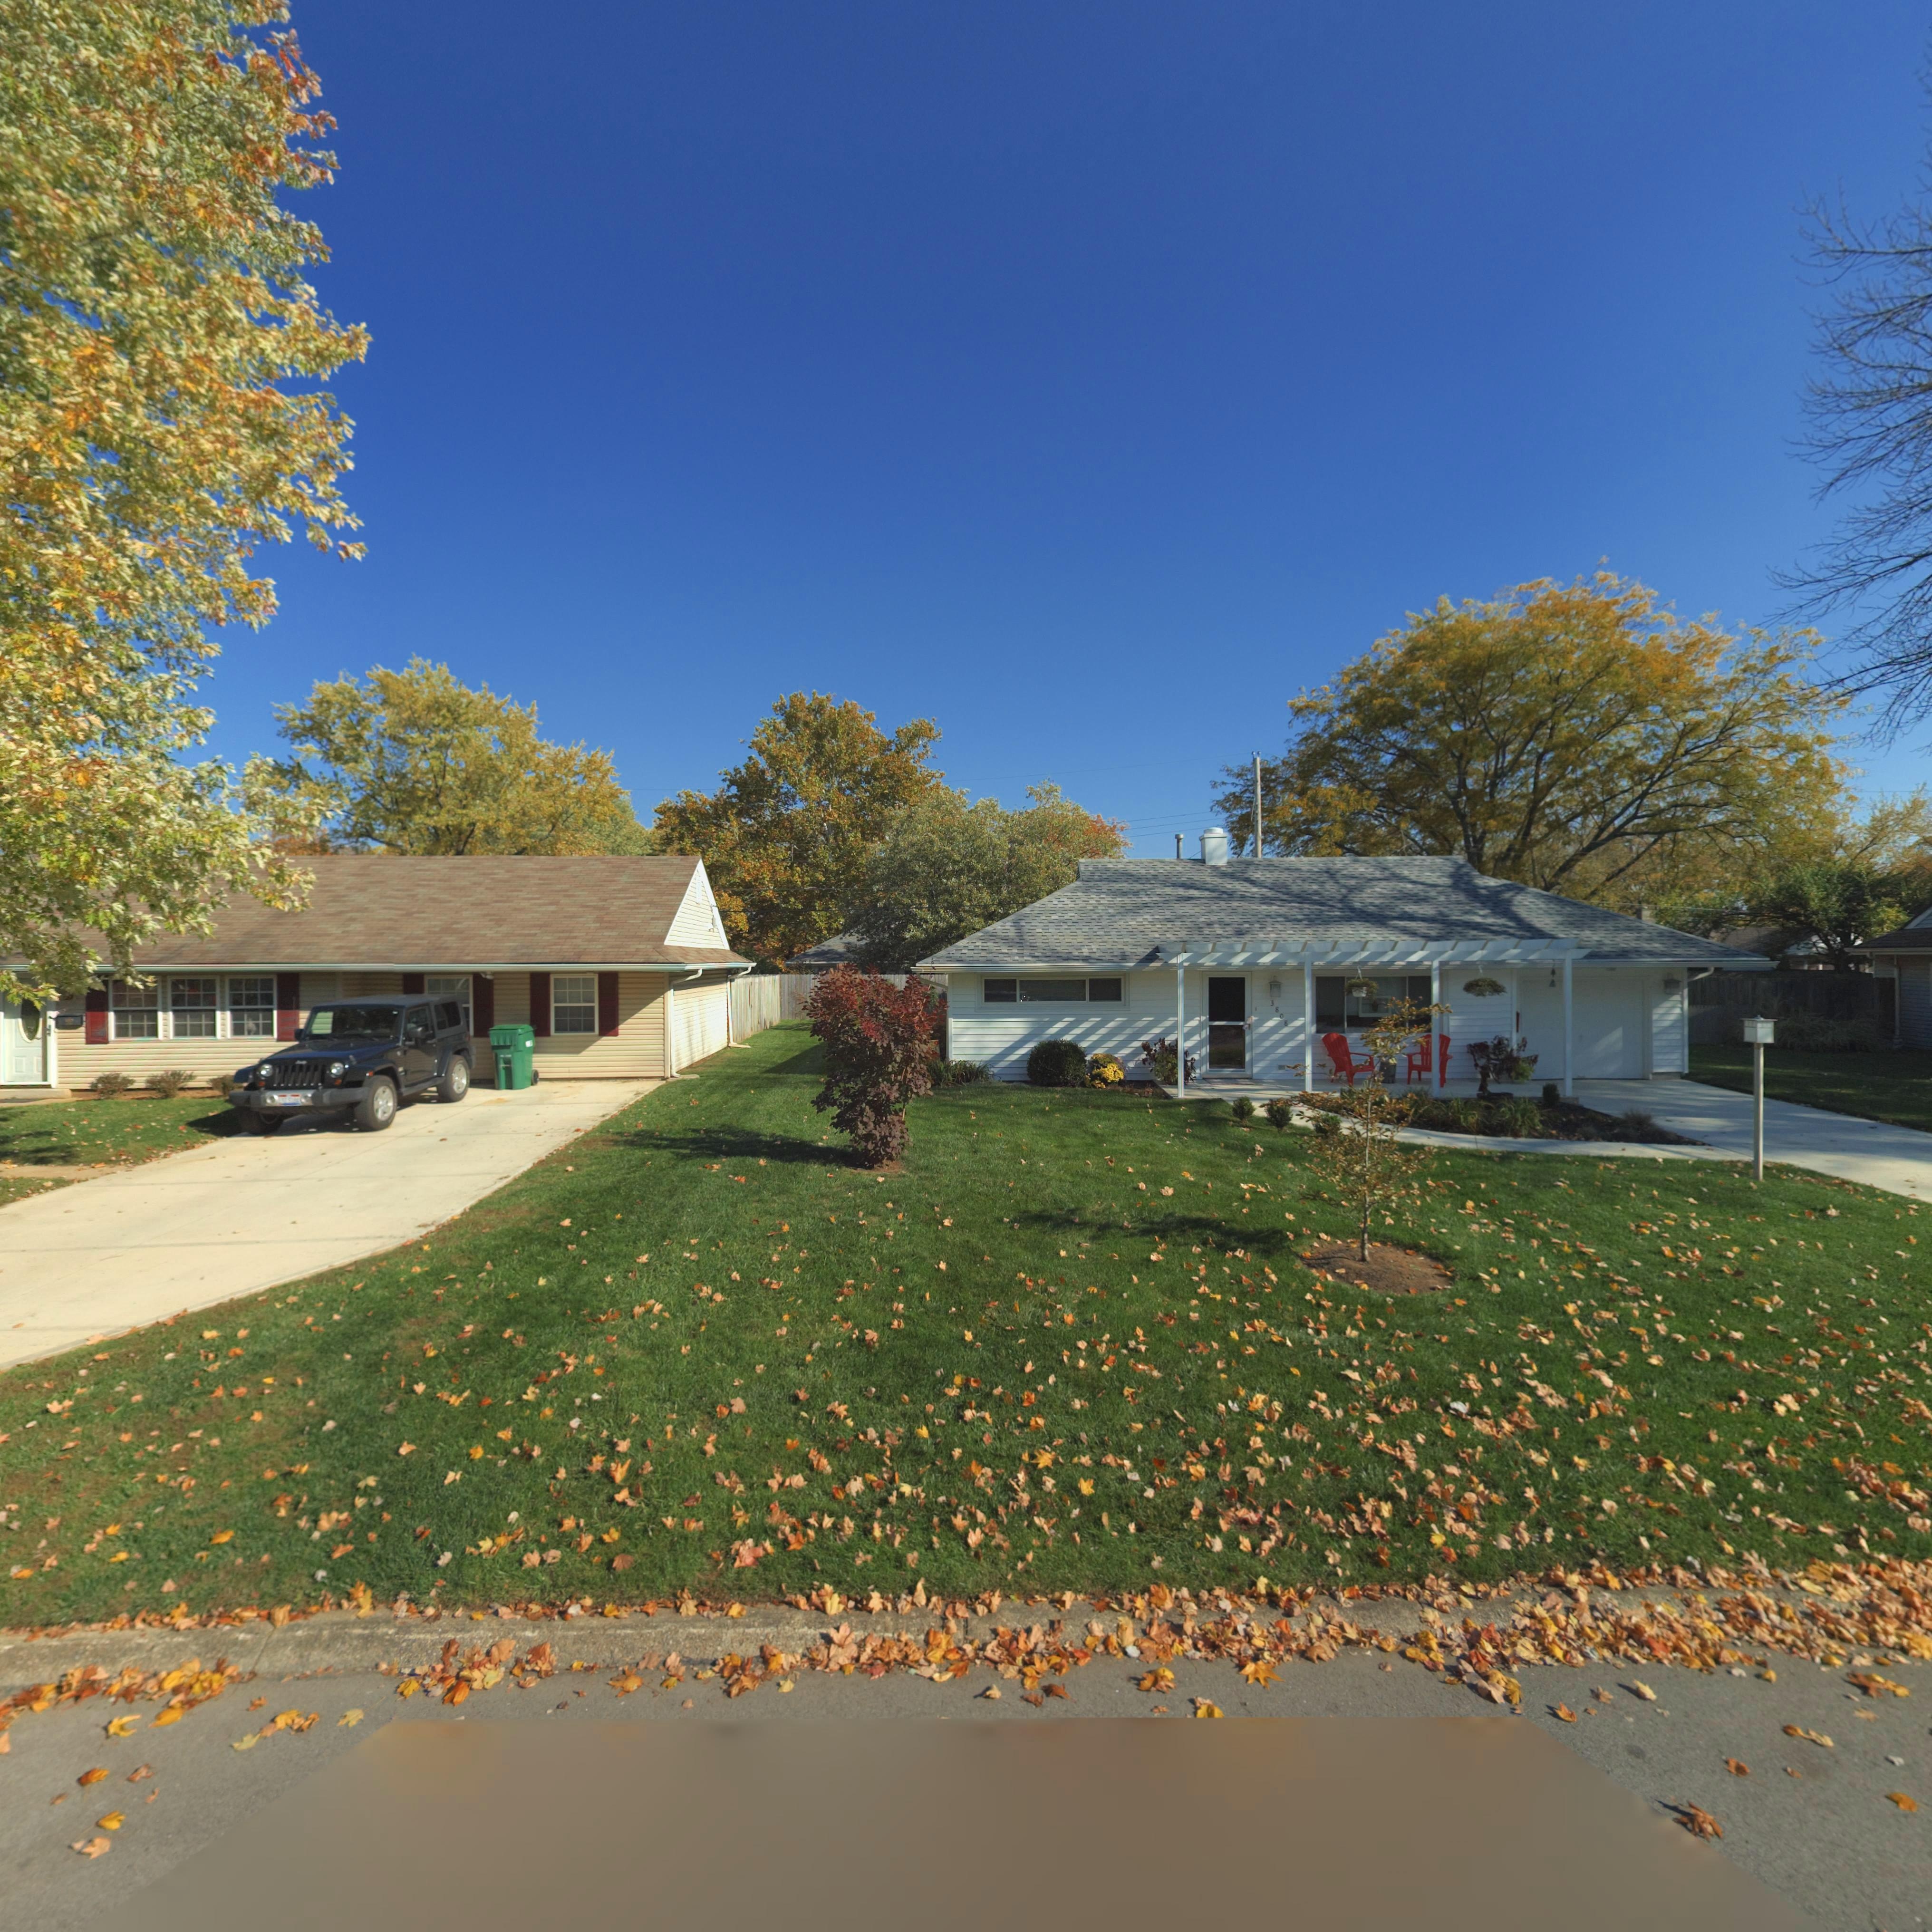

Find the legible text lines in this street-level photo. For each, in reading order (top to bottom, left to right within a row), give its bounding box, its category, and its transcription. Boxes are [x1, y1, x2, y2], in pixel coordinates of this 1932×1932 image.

[1269, 998, 1289, 1027] StreetNumber: 3808